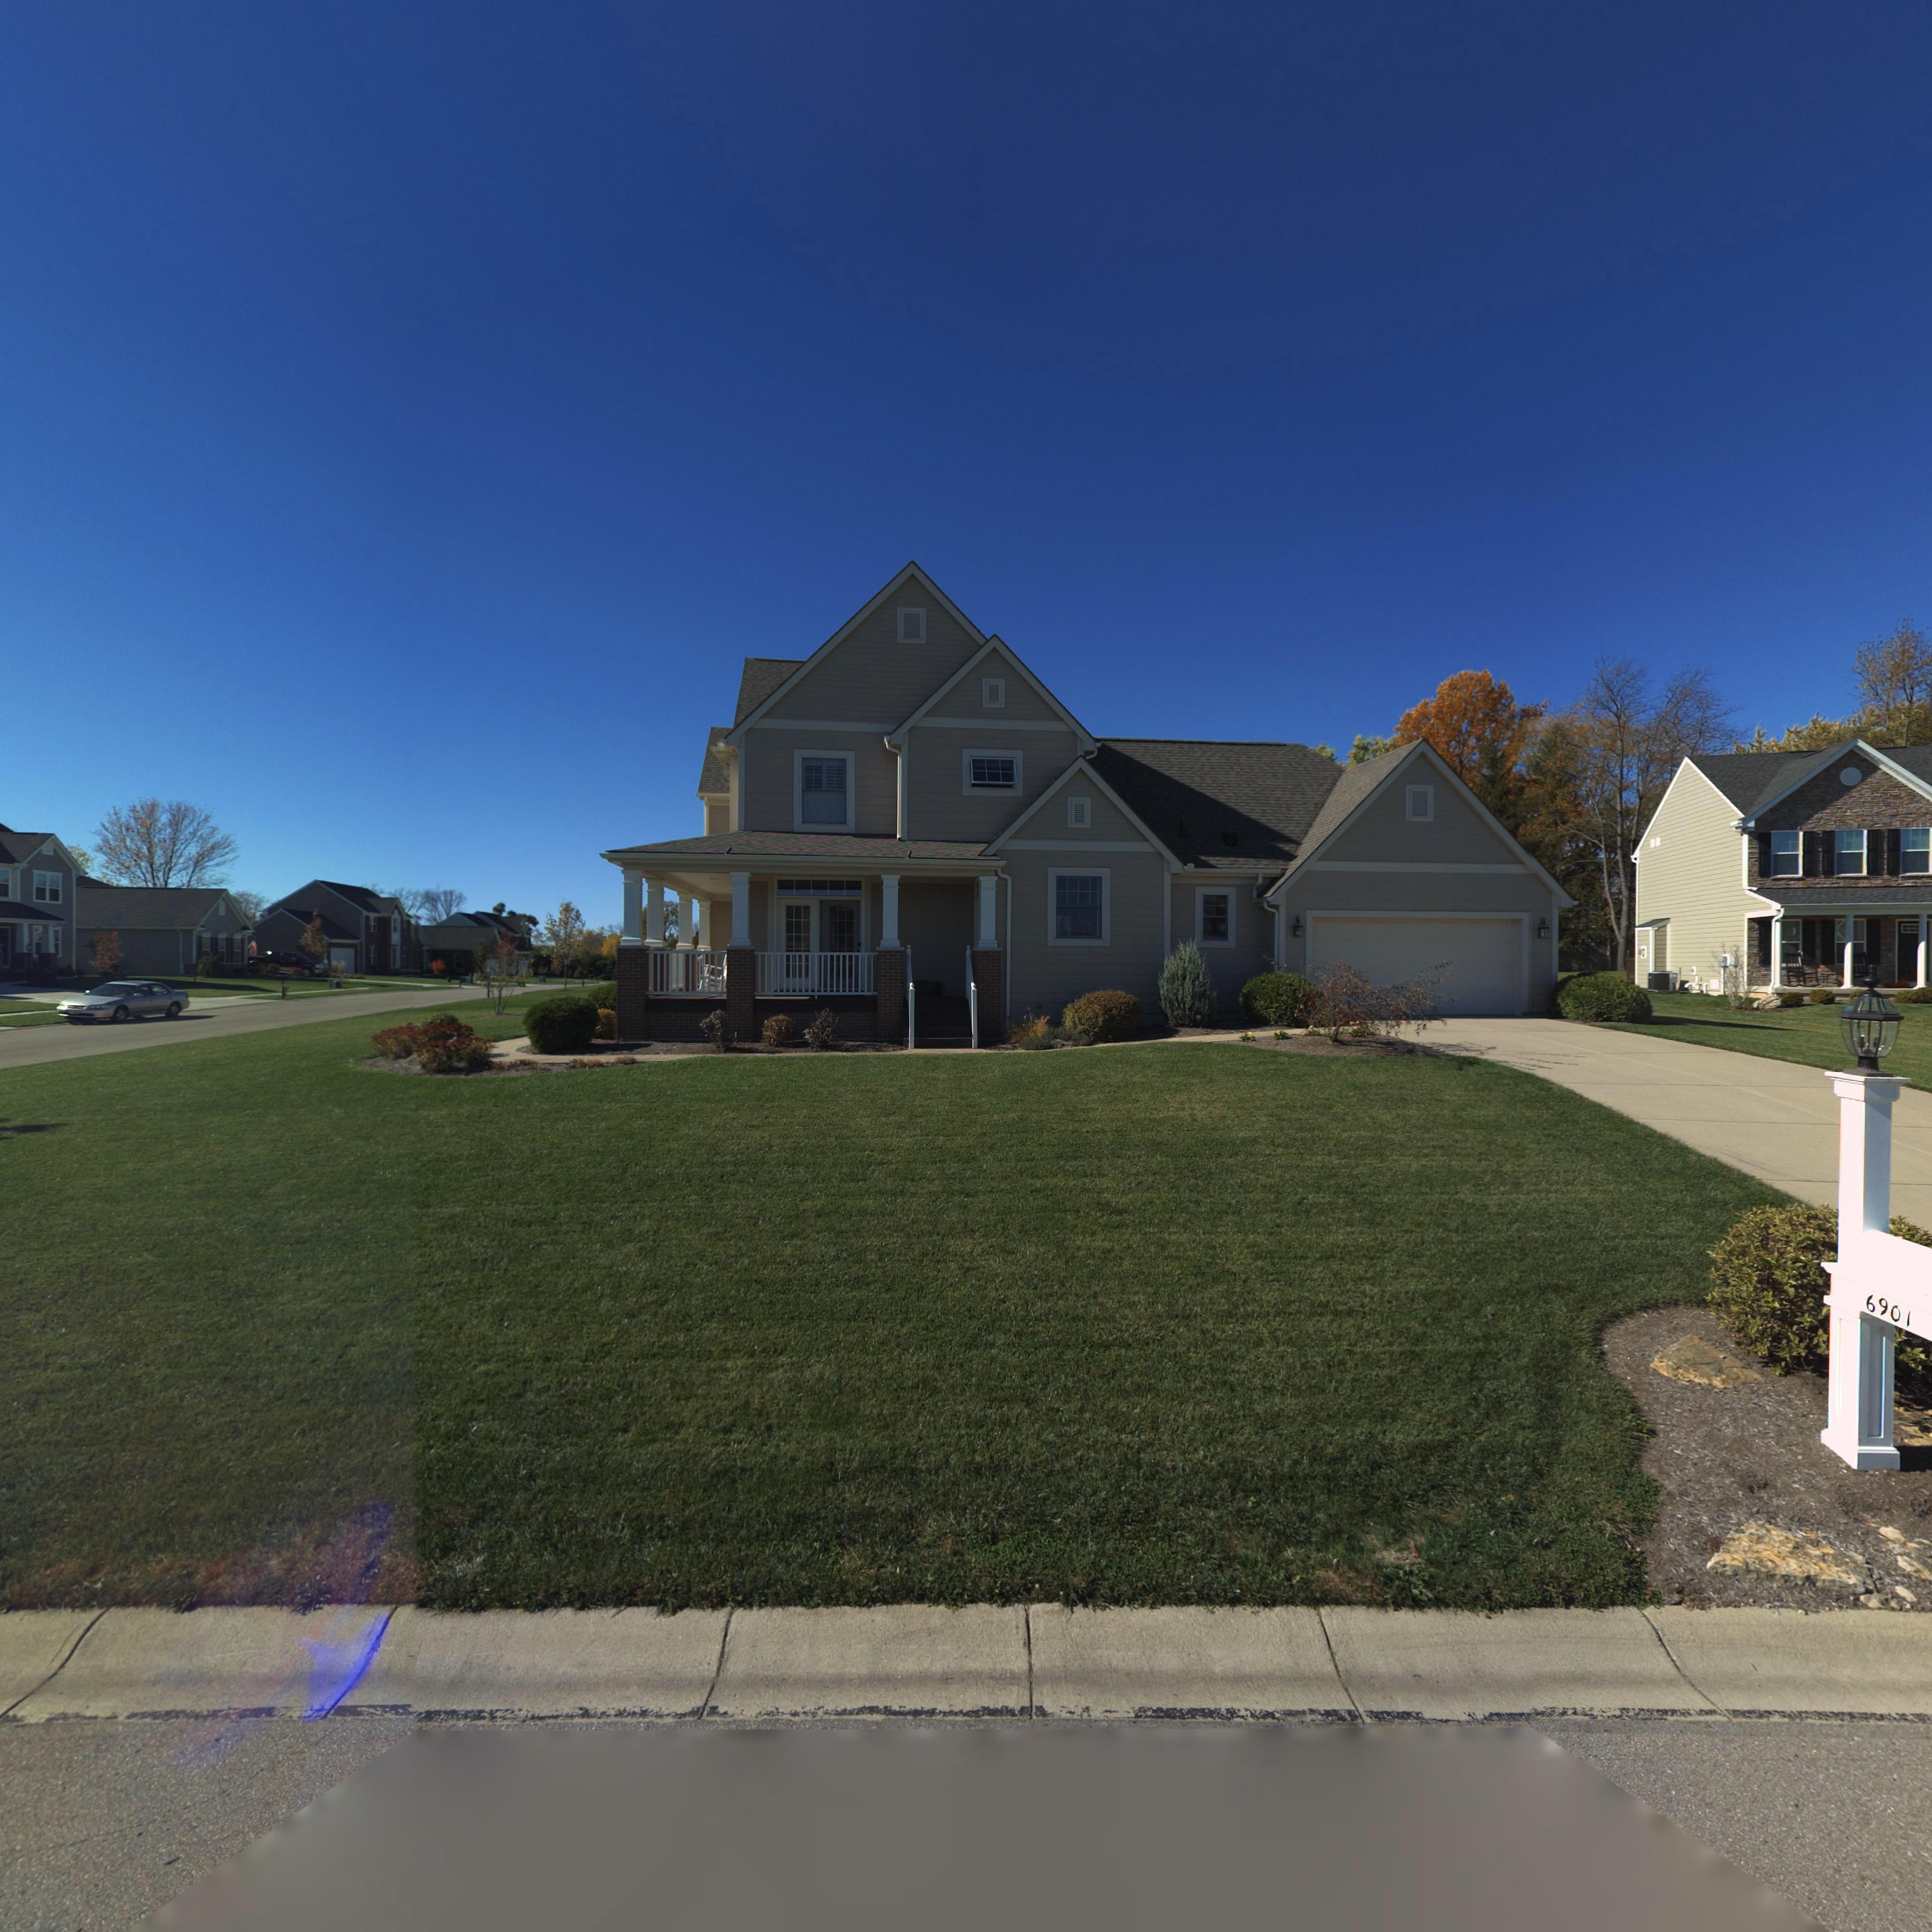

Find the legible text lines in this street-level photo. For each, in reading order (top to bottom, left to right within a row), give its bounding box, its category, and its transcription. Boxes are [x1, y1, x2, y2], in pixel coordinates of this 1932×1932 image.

[1864, 1293, 1913, 1328] StreetNumber: 6901